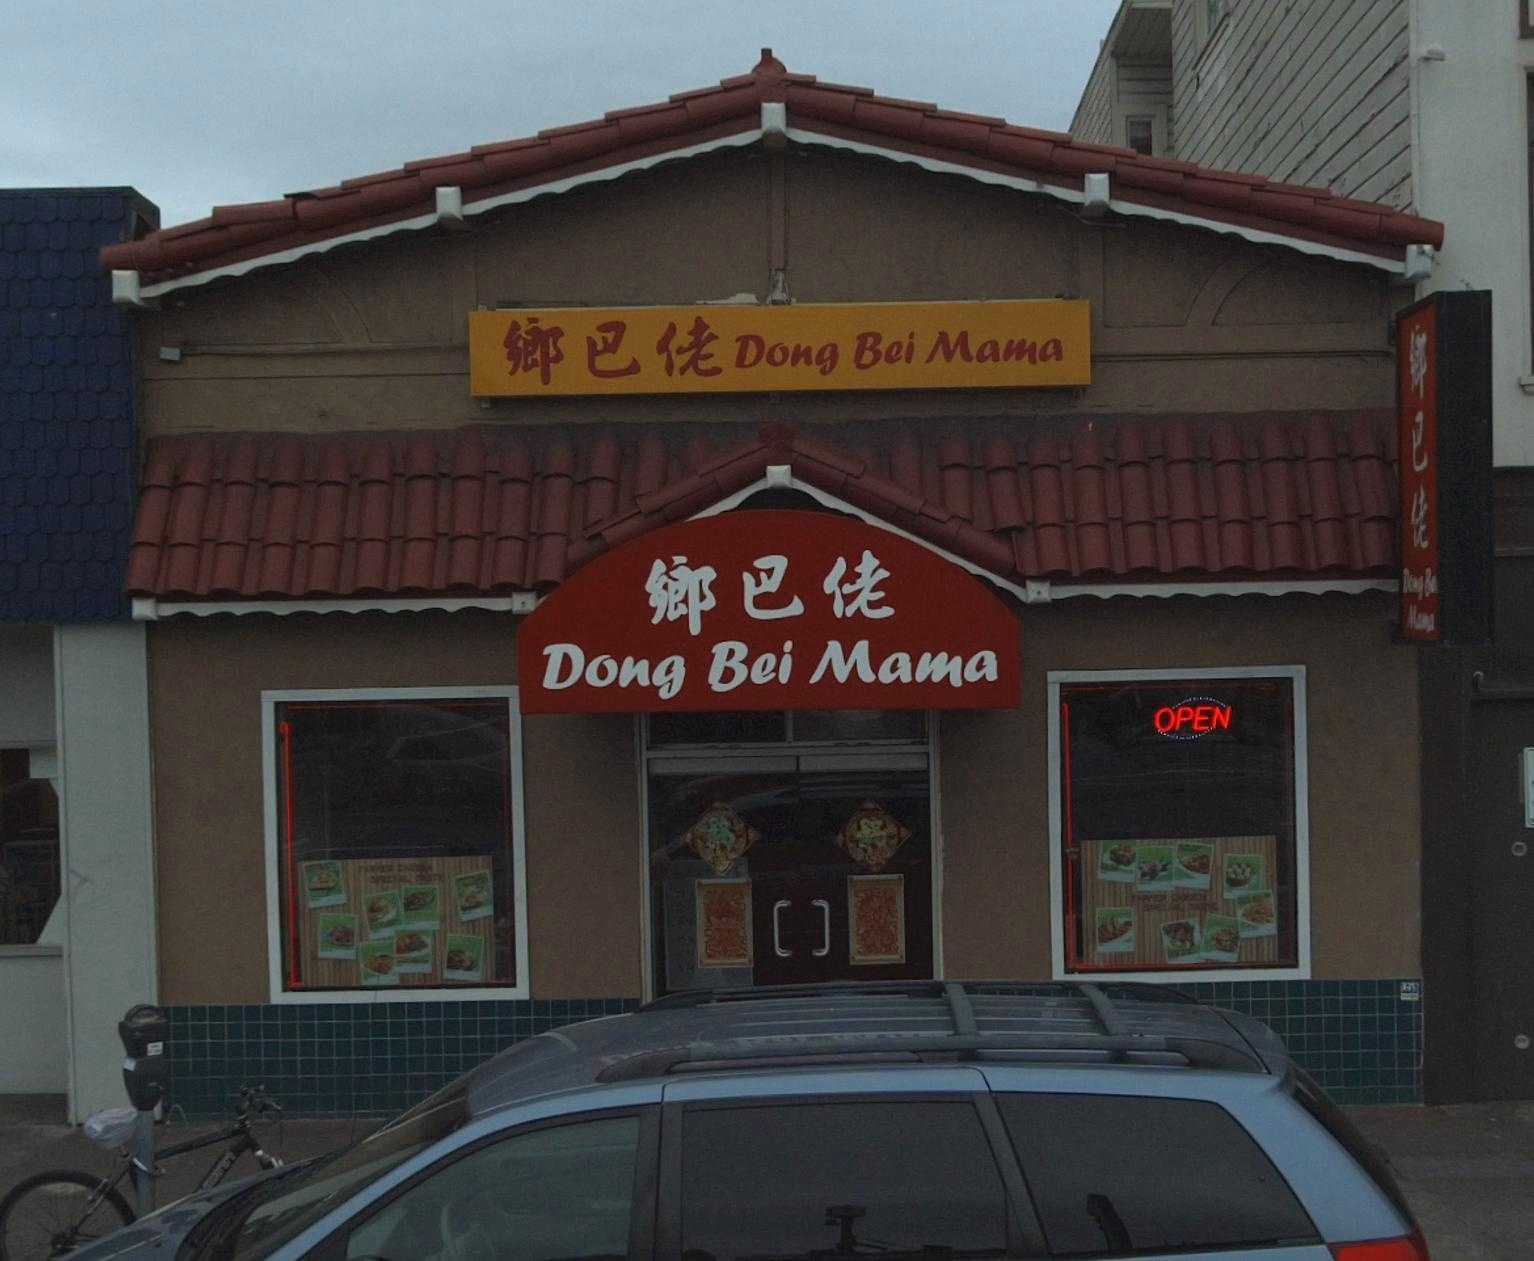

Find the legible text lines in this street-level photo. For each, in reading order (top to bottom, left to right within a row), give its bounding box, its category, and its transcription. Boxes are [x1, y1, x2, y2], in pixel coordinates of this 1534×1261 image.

[732, 327, 1066, 379] BusinessName: Dong Bei Mama
[537, 633, 1004, 704] BusinessName: Dong Bei Mama
[1150, 702, 1235, 734] None: OPEN